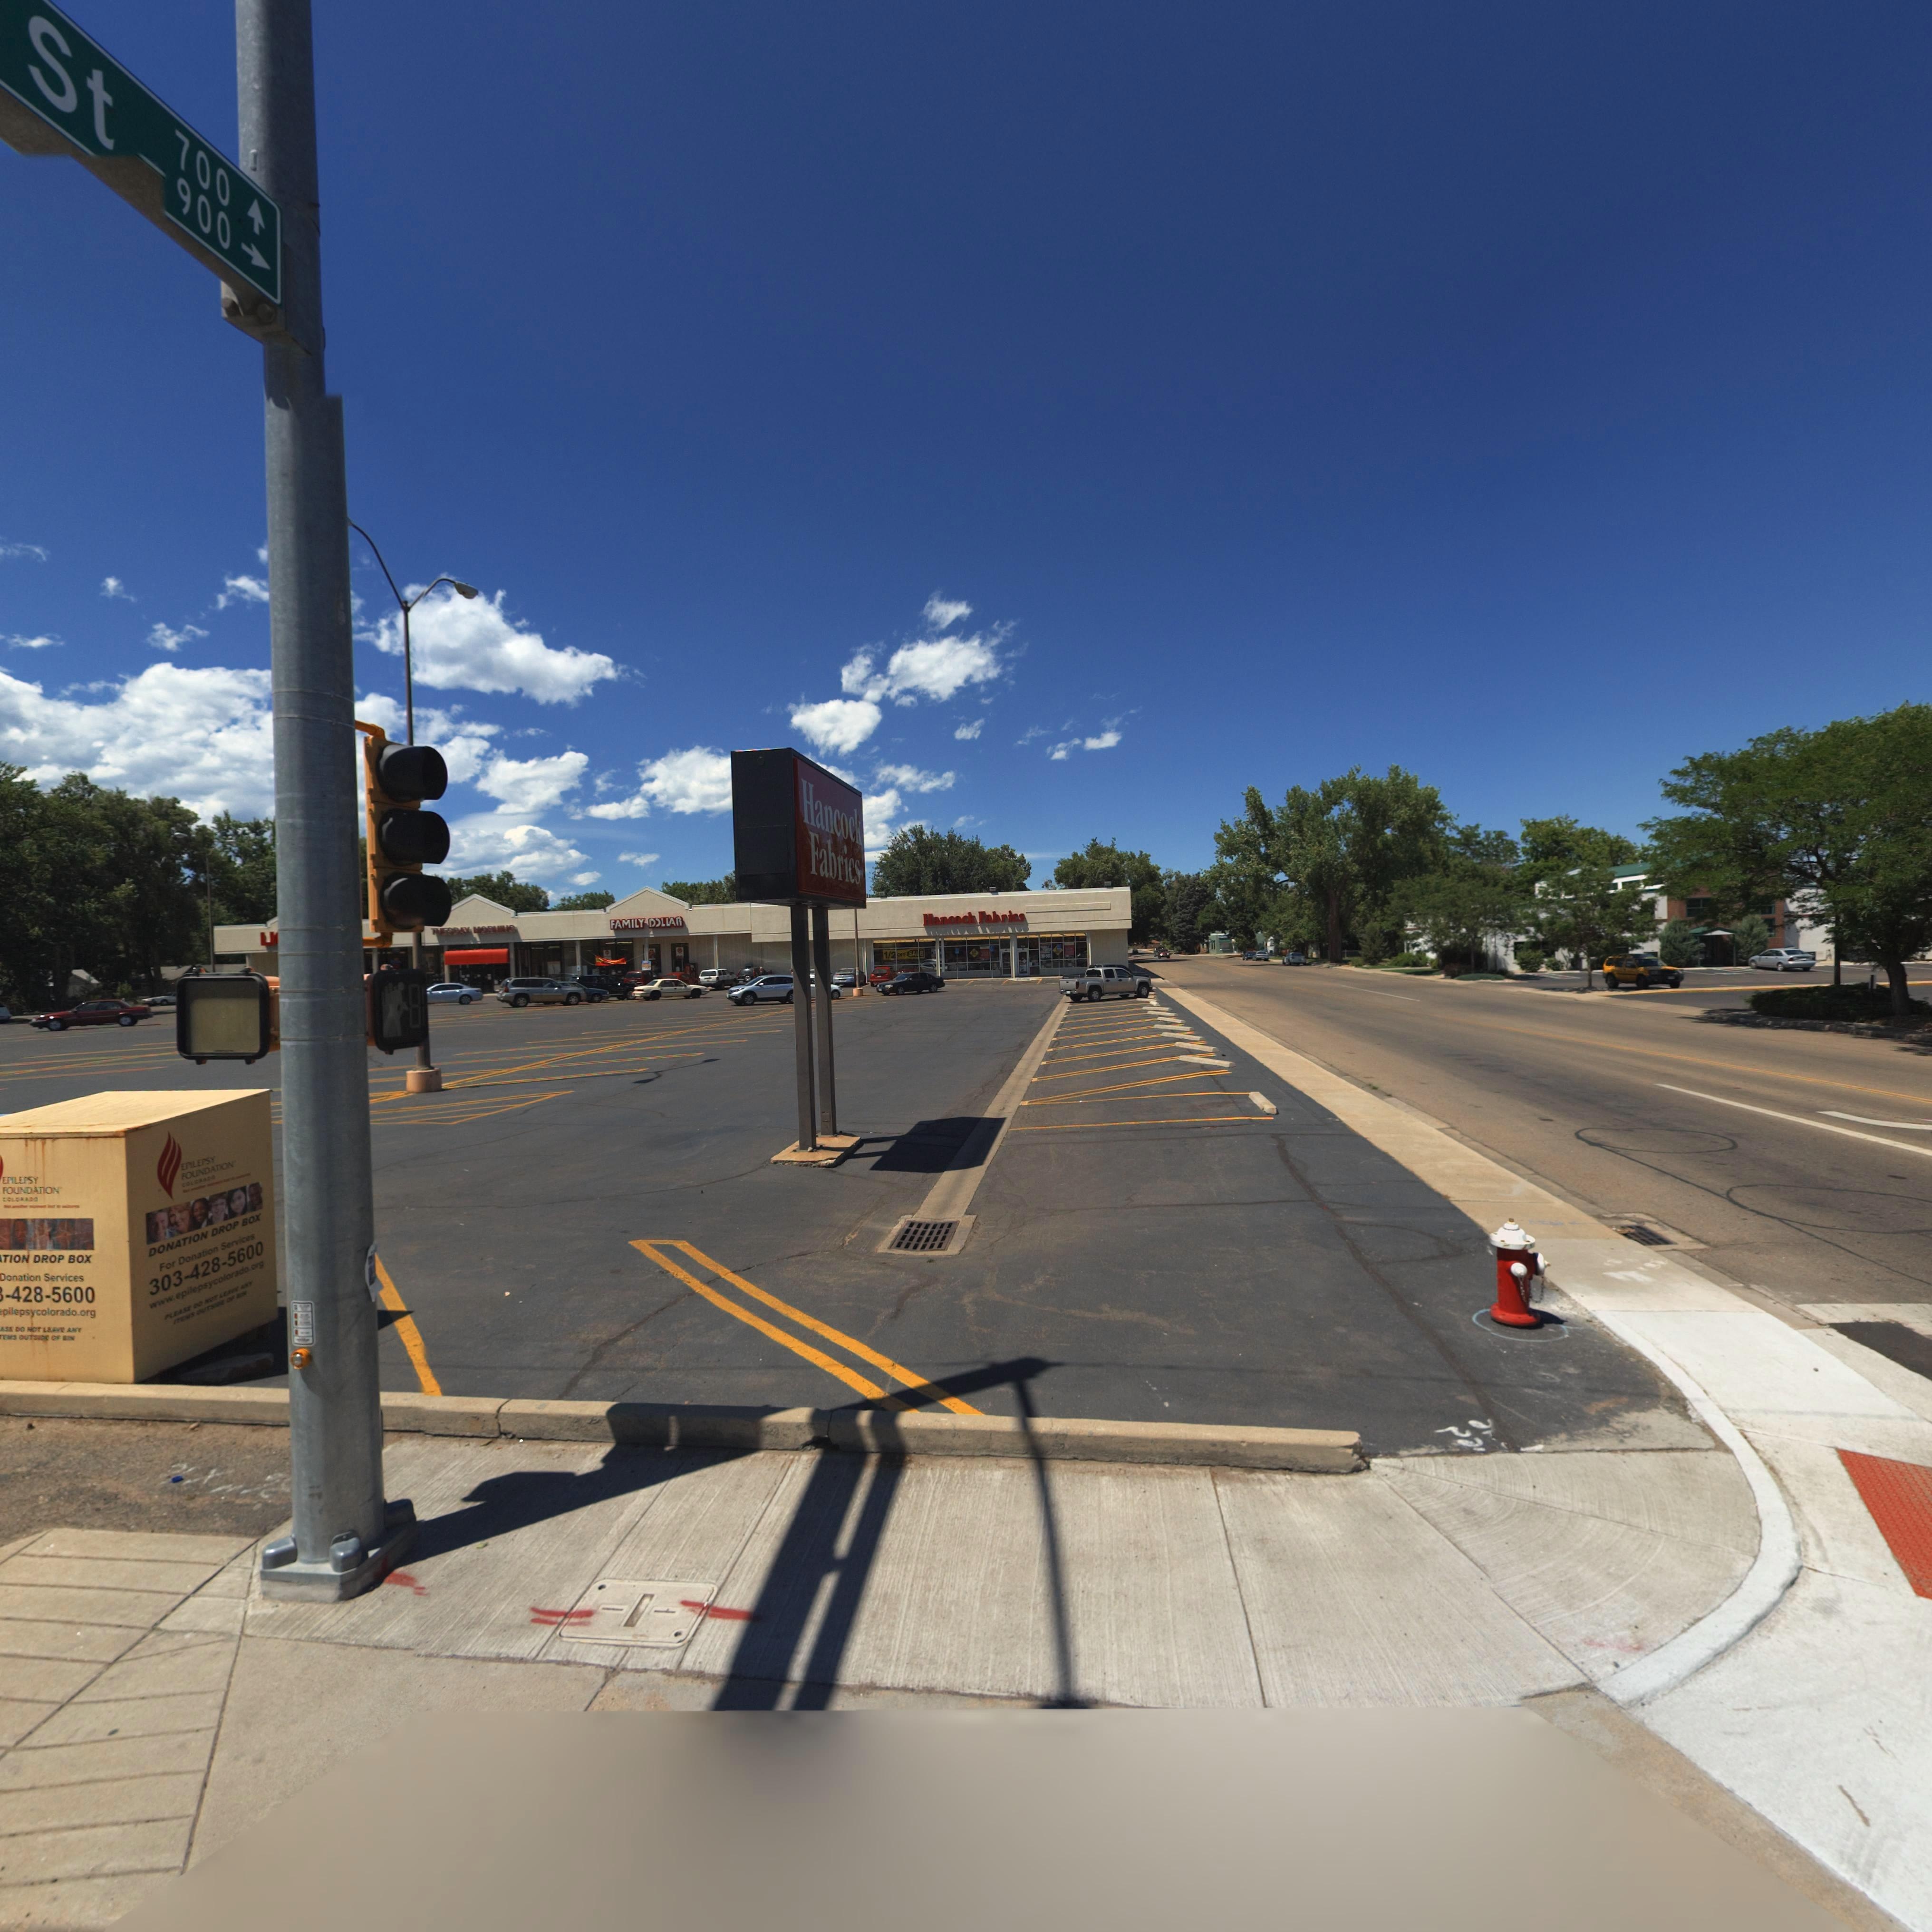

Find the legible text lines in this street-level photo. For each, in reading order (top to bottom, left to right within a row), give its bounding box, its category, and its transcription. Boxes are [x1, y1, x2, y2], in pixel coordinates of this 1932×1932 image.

[174, 127, 230, 207] StreetNumberRange: 700
[176, 176, 272, 270] StreetNumberRange: 900 ->
[800, 777, 863, 846] BusinessName: Hancock
[809, 831, 860, 885] BusinessName: Fabrics
[430, 924, 515, 936] BusinessName: TUESDAY MORNING
[609, 916, 684, 930] BusinessName: FAMILY D*LLAR
[922, 910, 1025, 926] BusinessName: Hancock Fabrics
[1020, 945, 1025, 947] StreetNumber: 700